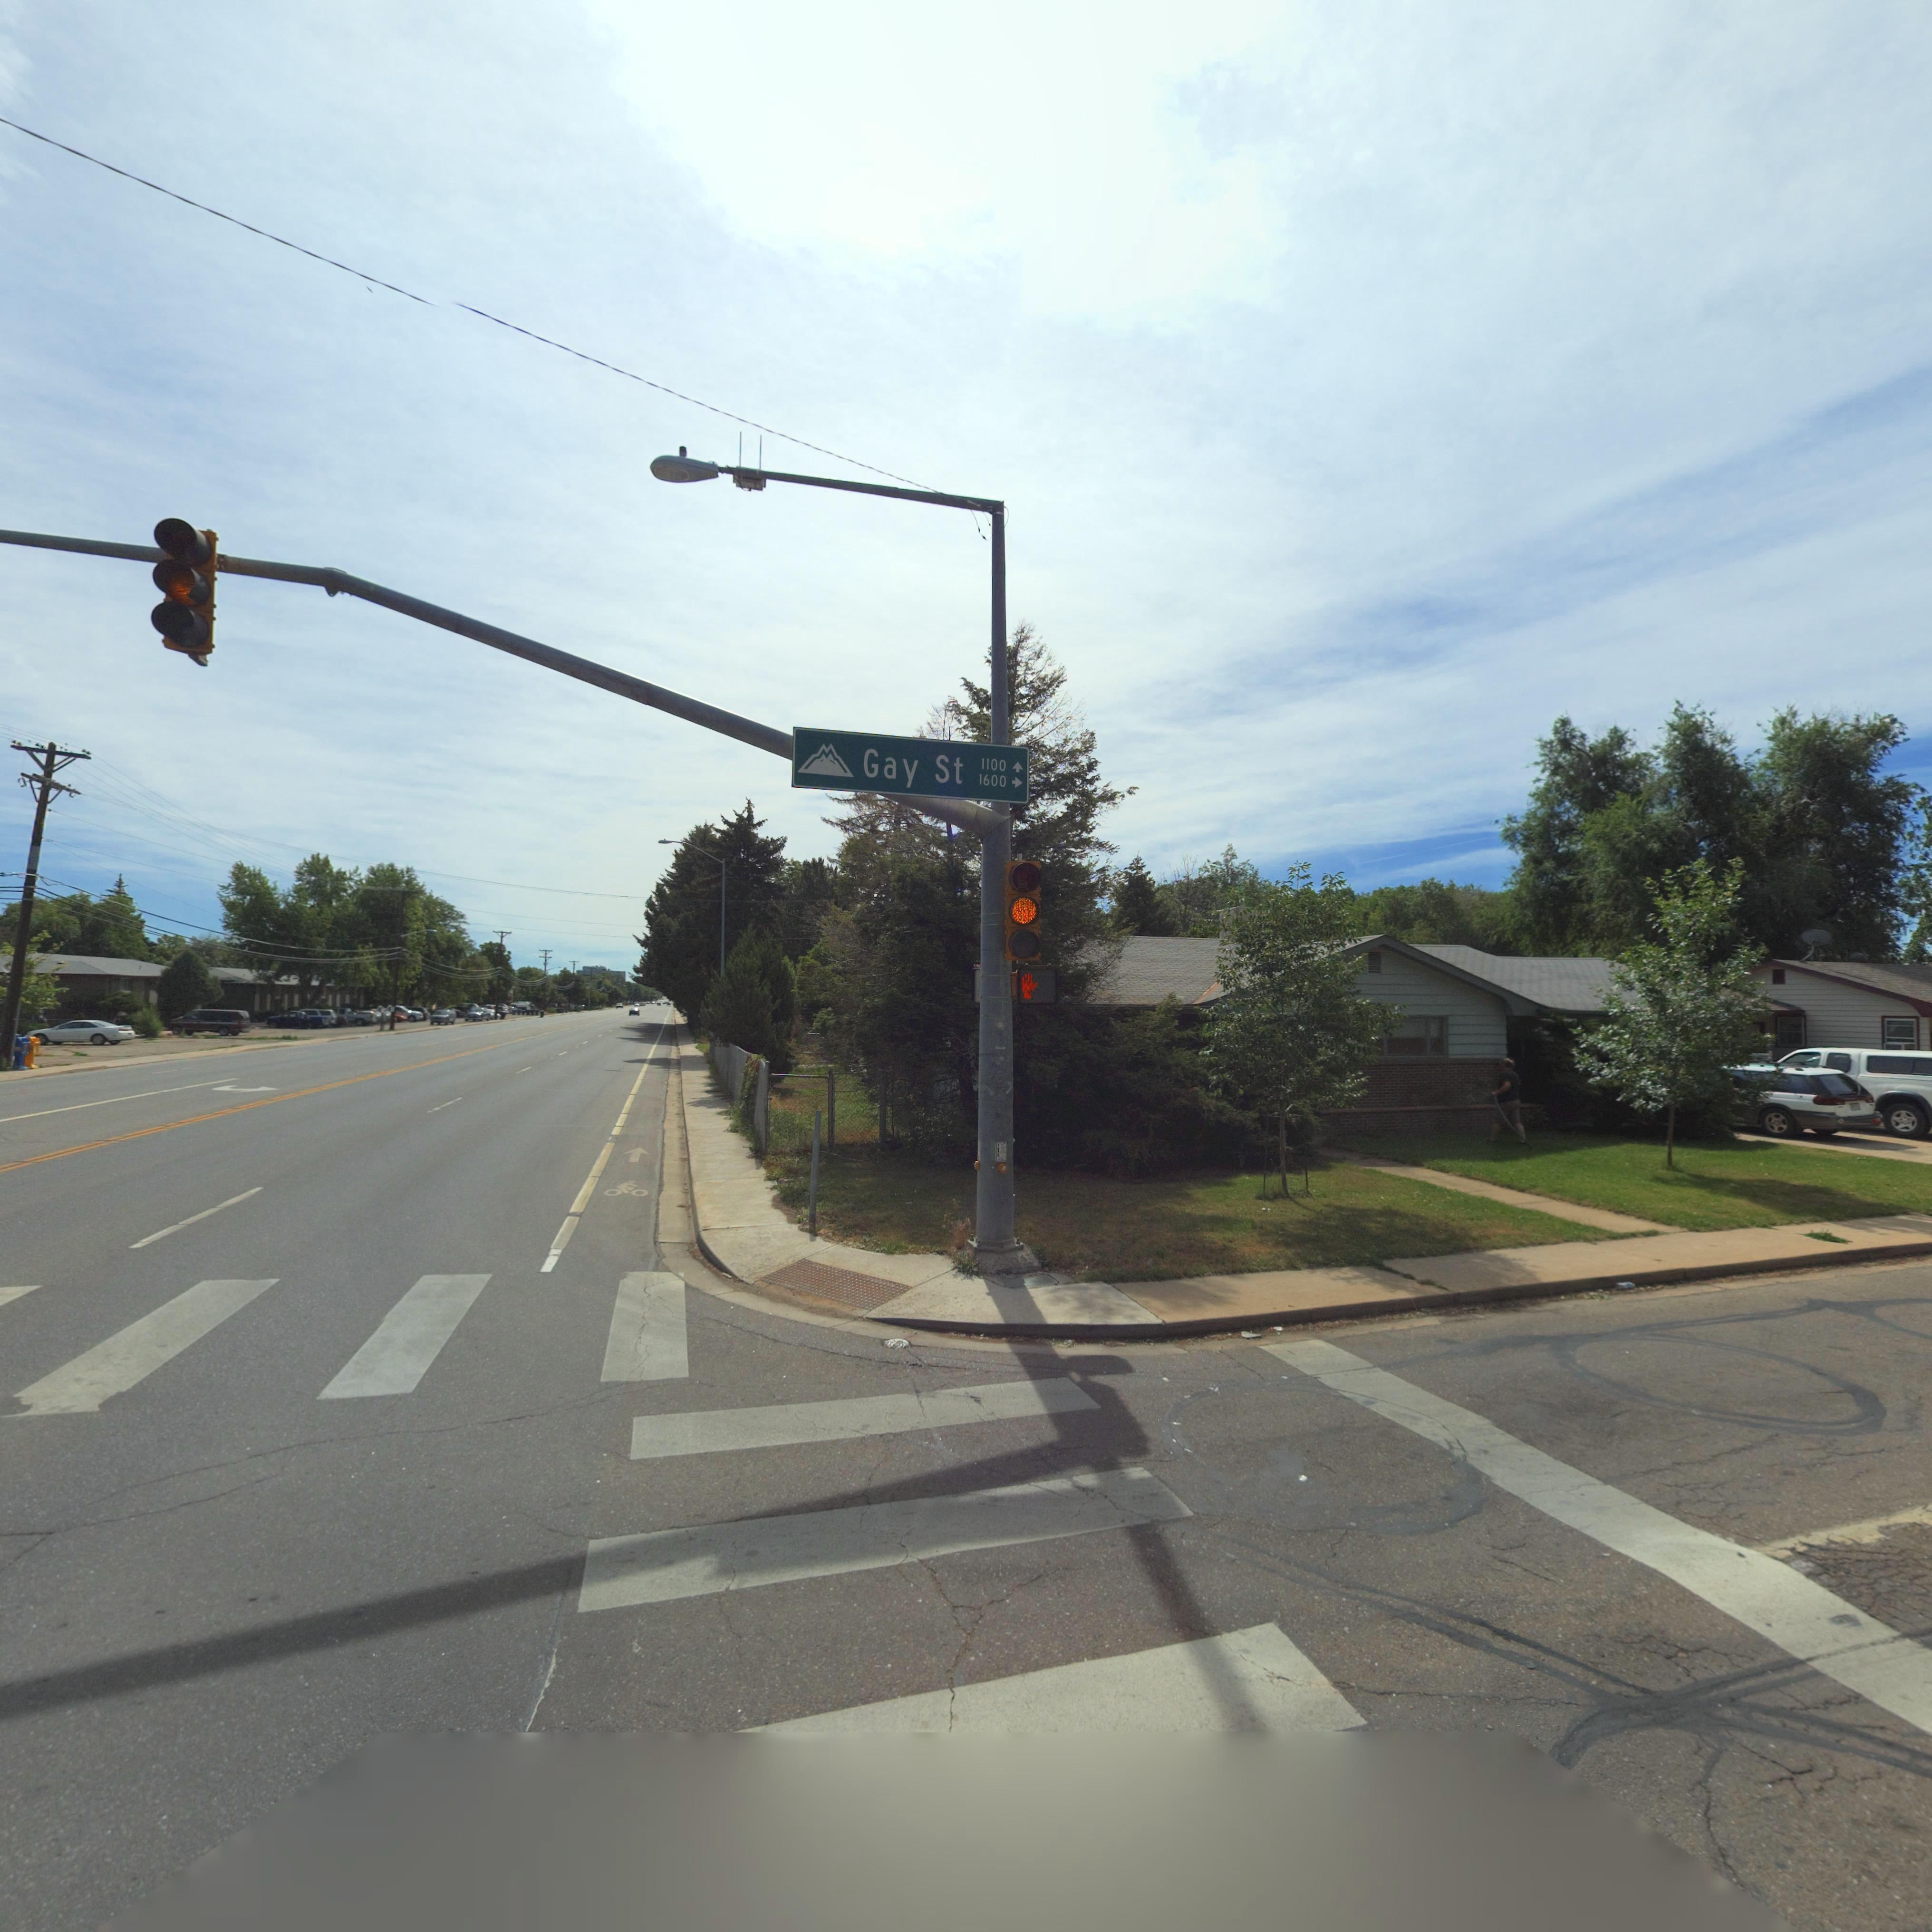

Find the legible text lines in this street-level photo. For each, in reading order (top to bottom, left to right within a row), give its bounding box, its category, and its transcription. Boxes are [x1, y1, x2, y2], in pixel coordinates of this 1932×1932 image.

[862, 747, 964, 789] StreetName: Gay St
[981, 757, 1006, 772] StreetNumberRange: 1100
[978, 773, 1024, 789] StreetNumberRange: 1600->